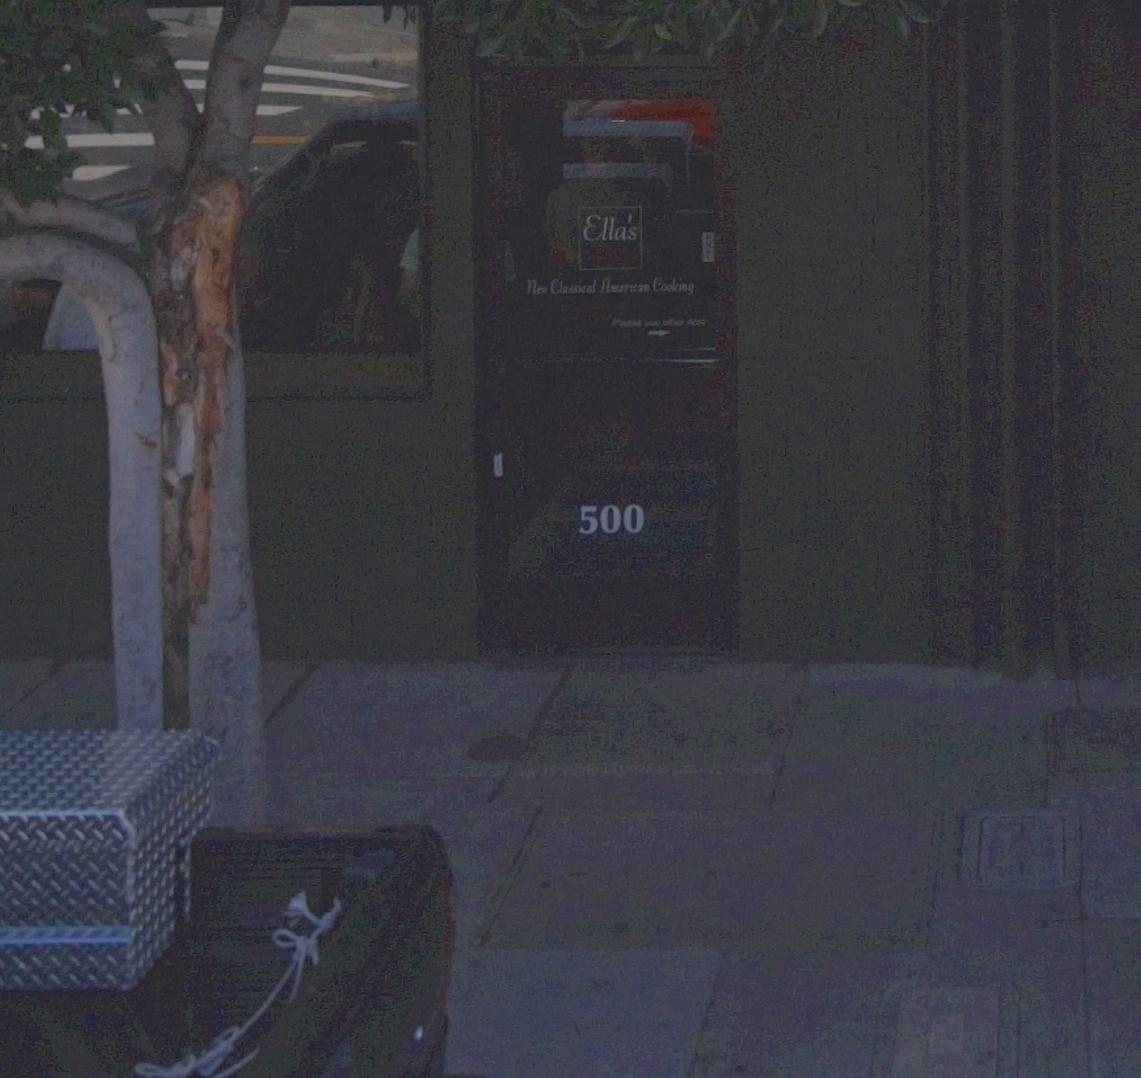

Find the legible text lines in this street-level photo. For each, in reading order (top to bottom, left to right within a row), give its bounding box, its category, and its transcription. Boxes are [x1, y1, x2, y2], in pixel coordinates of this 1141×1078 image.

[580, 210, 641, 245] BusinessName: Ella's
[523, 272, 696, 300] BusinessName: n** Cl***ical A***ican Cooking
[576, 502, 648, 538] StreetNumber: 500